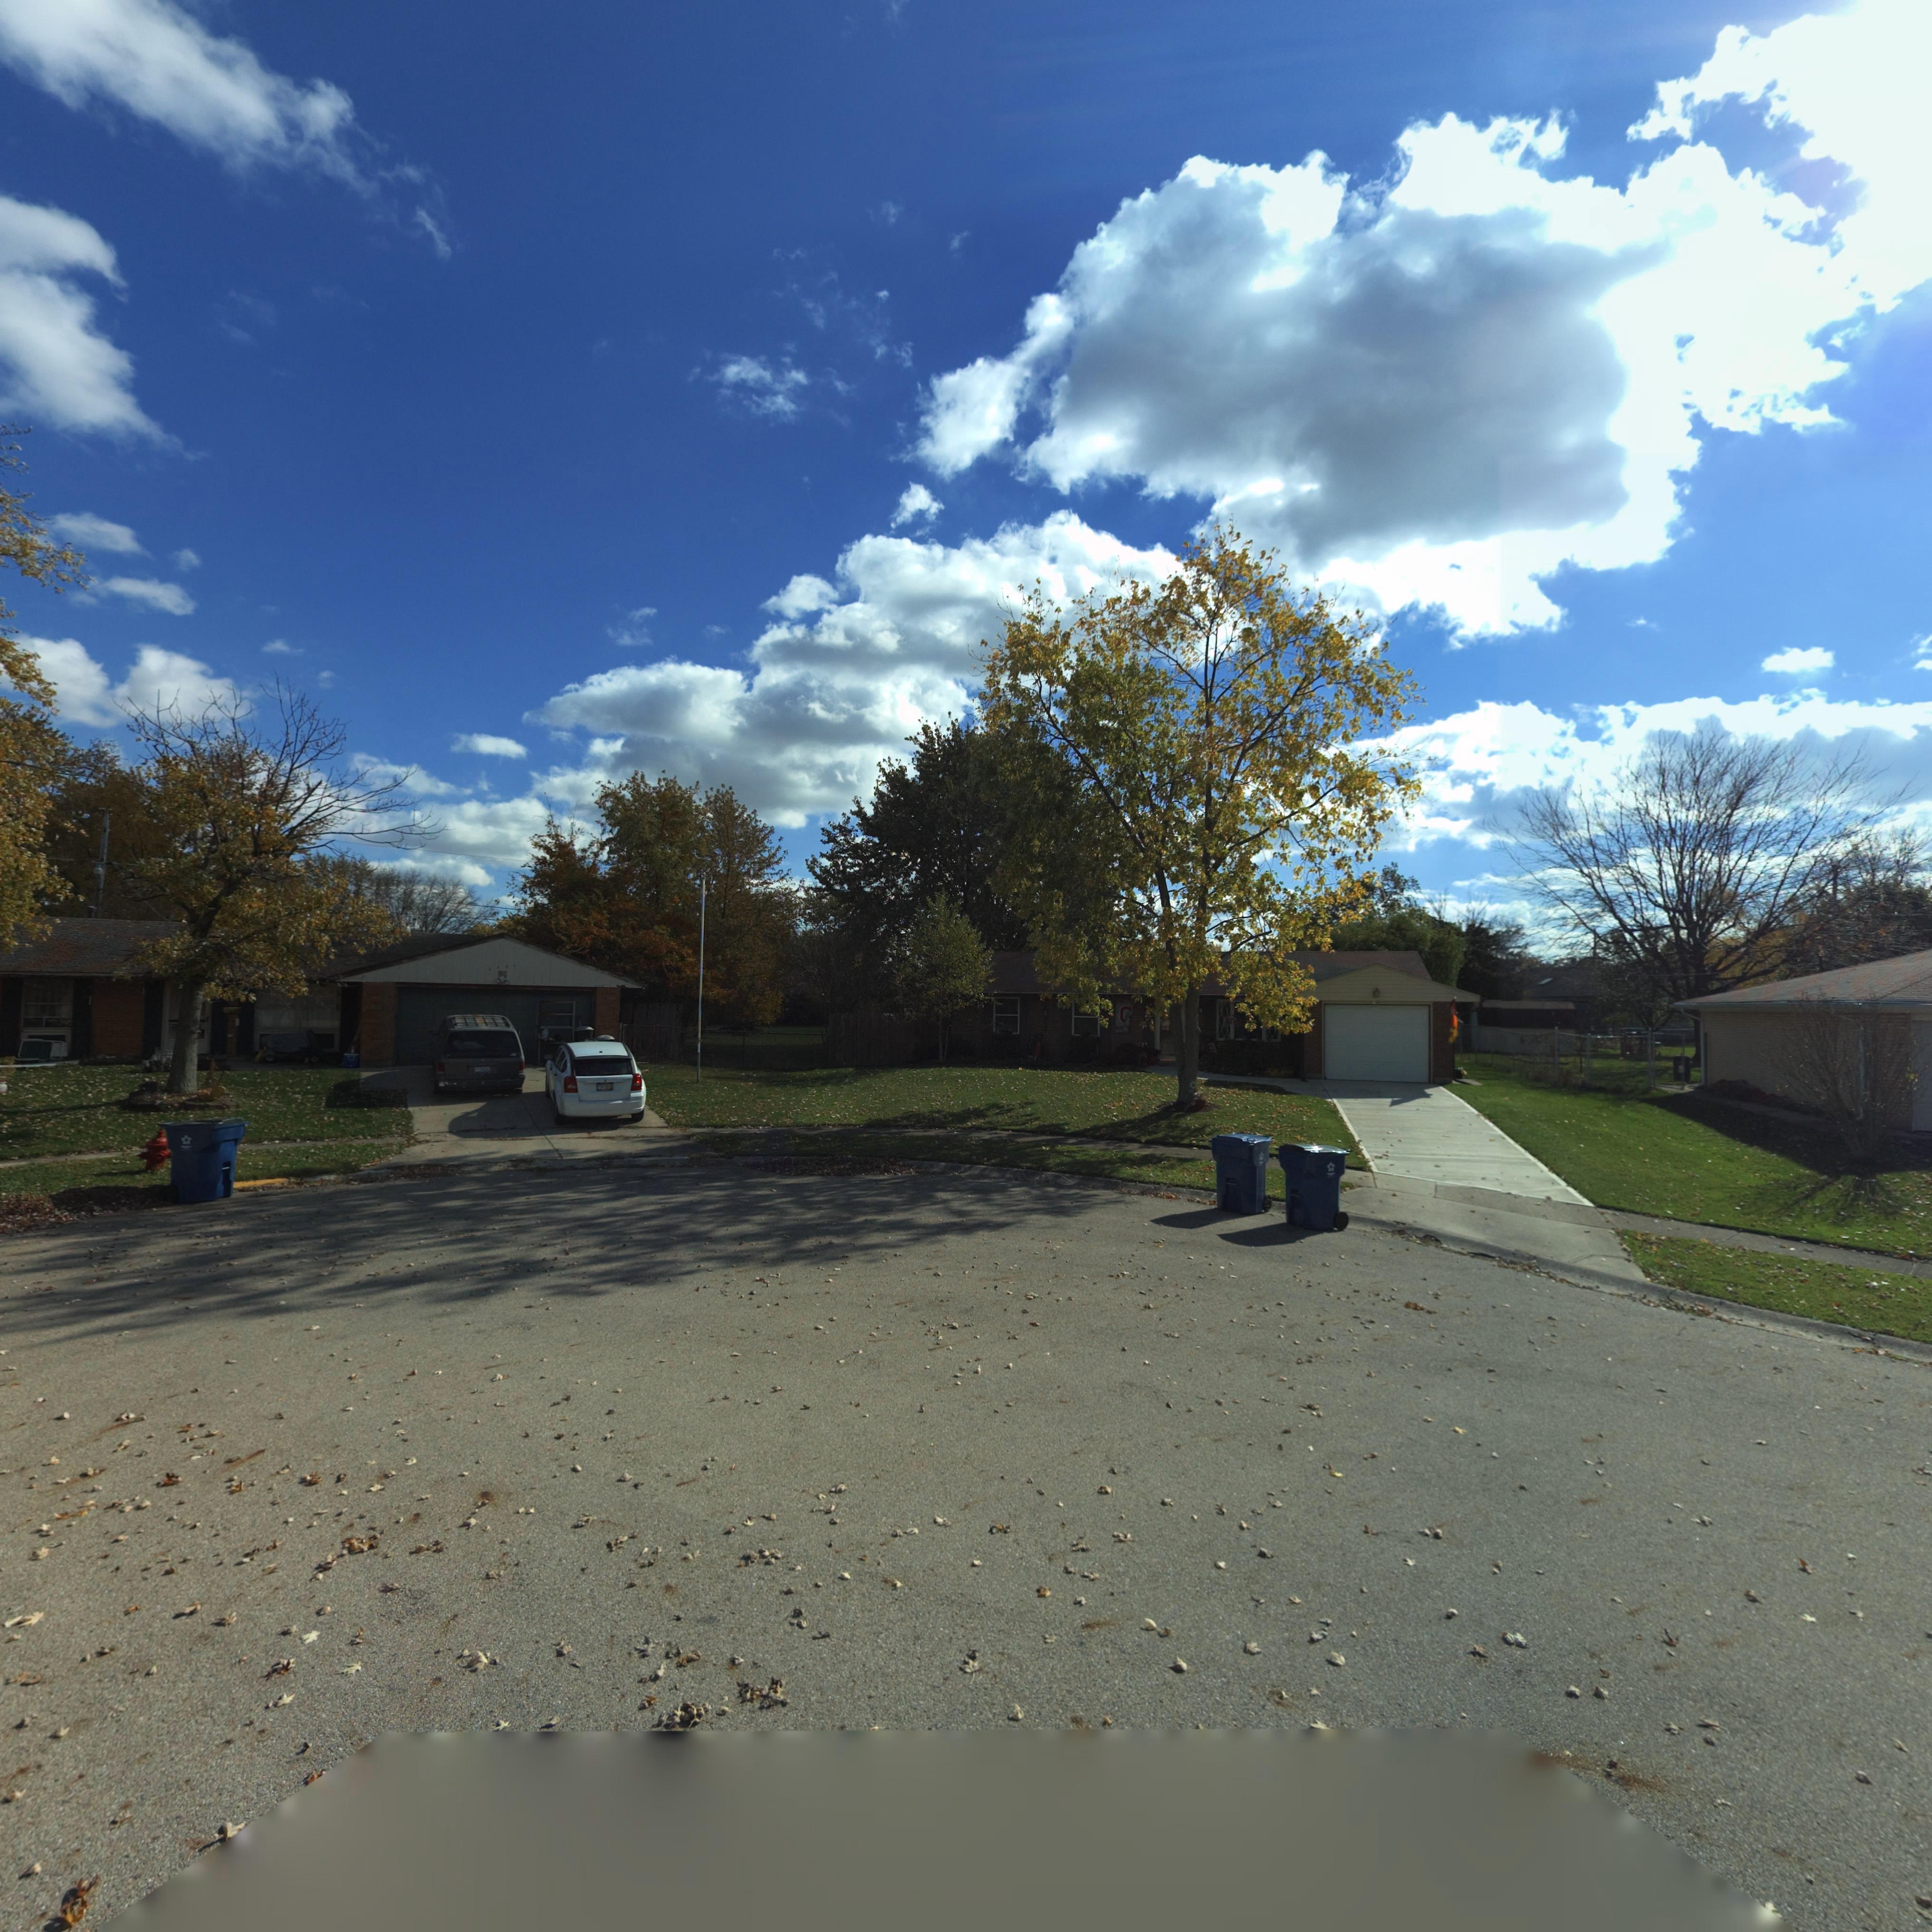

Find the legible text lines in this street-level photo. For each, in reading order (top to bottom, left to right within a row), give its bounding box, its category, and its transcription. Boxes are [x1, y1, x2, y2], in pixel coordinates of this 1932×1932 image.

[488, 963, 517, 972] StreetNumber: 6760